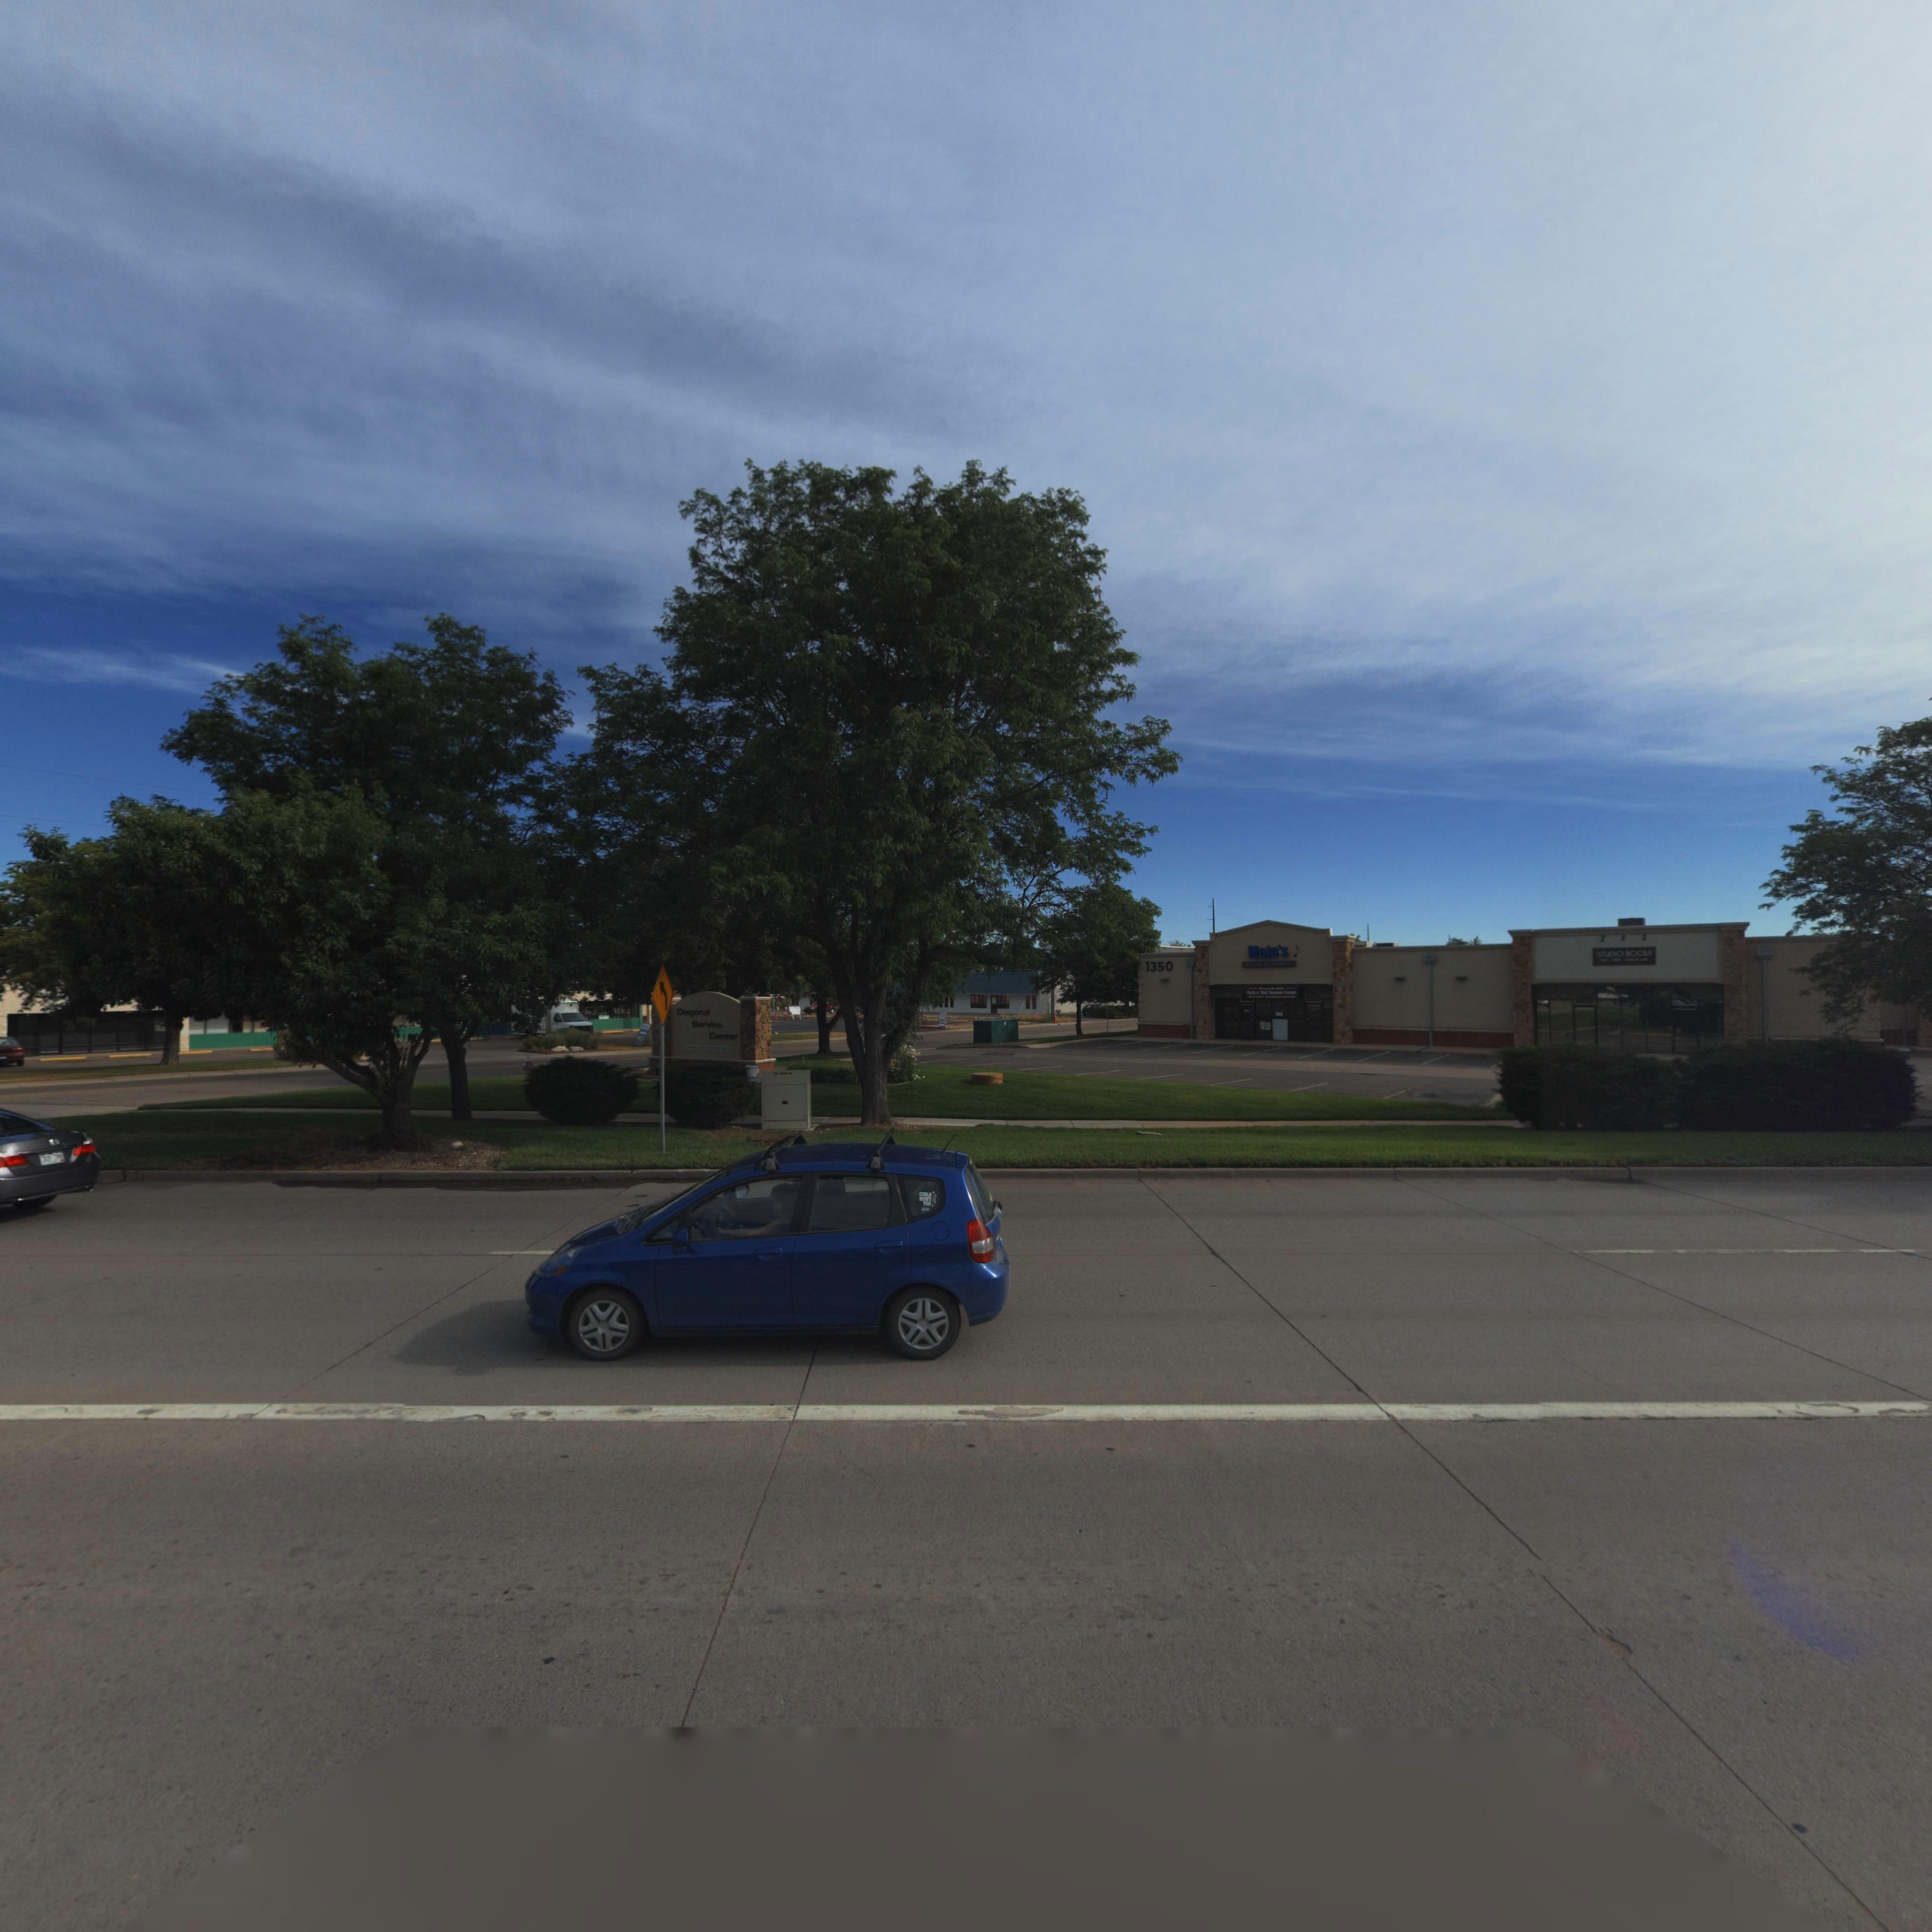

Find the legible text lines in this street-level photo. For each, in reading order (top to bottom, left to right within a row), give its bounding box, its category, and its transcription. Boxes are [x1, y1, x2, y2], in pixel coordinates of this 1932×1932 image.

[1247, 944, 1290, 959] BusinessName: Mojo's
[1596, 949, 1652, 958] BusinessName: S*UD*O BOOM
[1144, 960, 1174, 972] StreetNumber: 1350